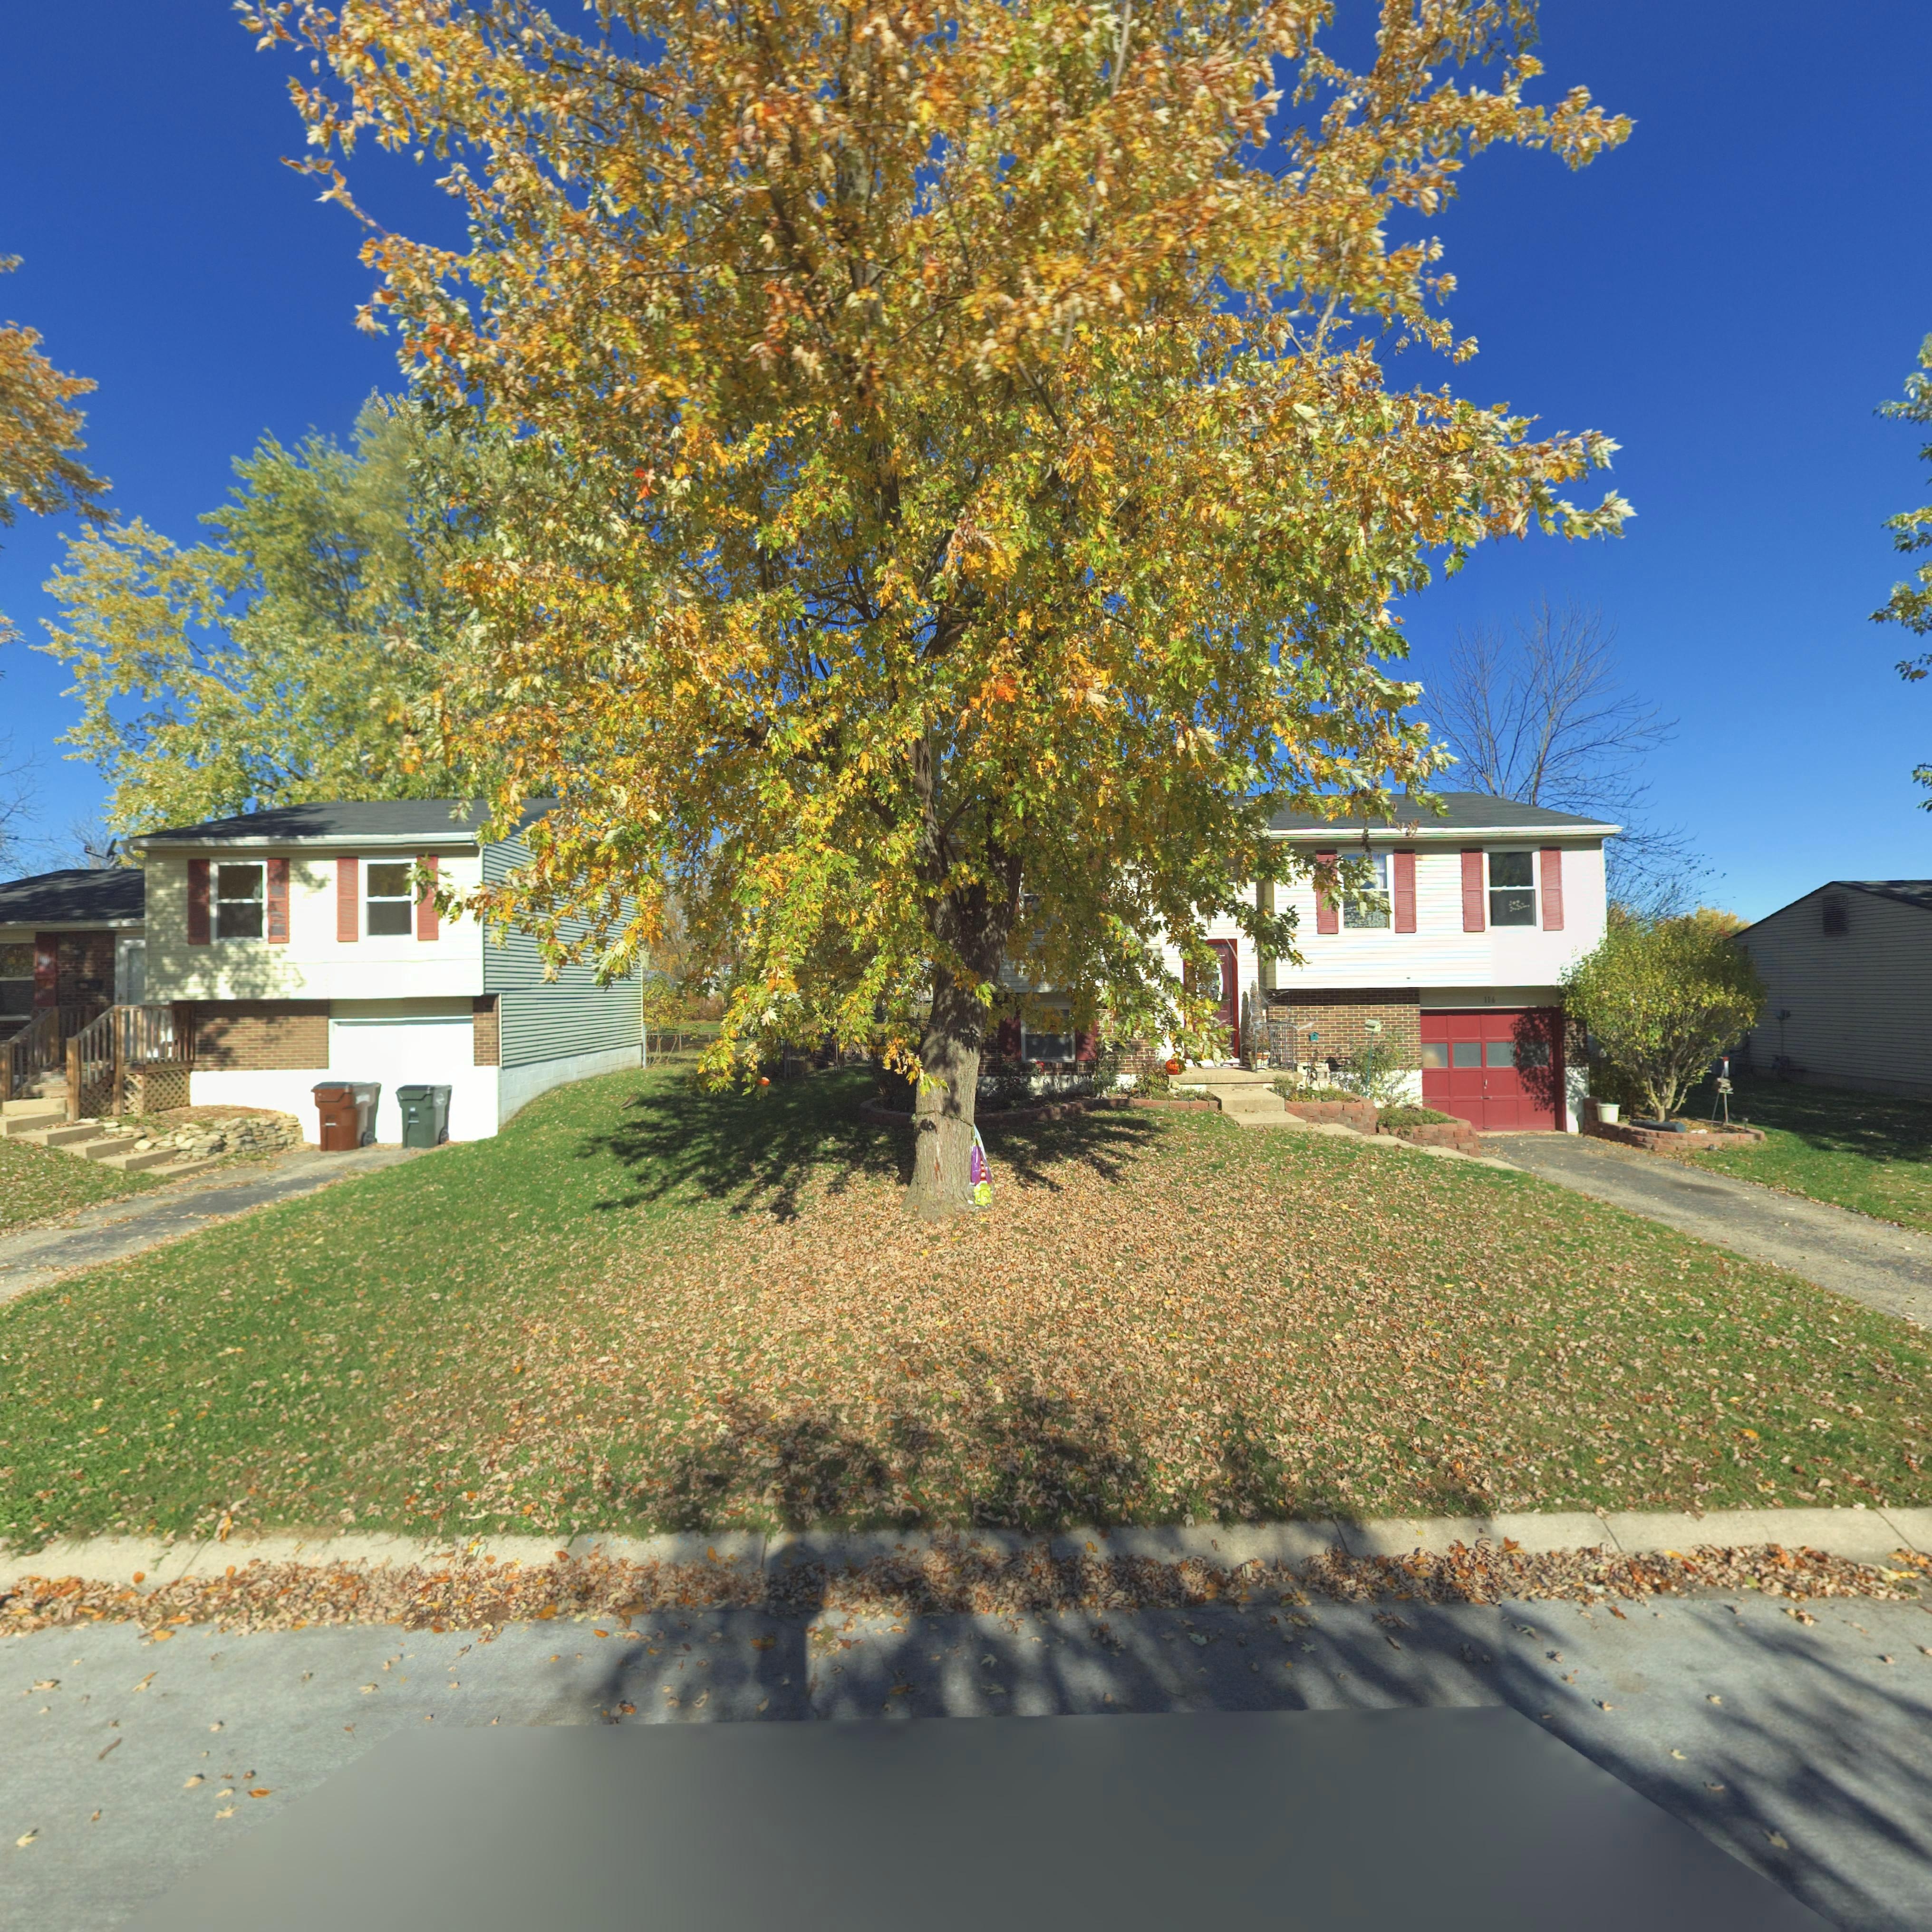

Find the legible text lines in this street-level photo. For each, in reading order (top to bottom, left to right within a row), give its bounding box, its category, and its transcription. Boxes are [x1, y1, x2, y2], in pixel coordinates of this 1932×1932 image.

[1483, 995, 1497, 1004] StreetNumber: 116